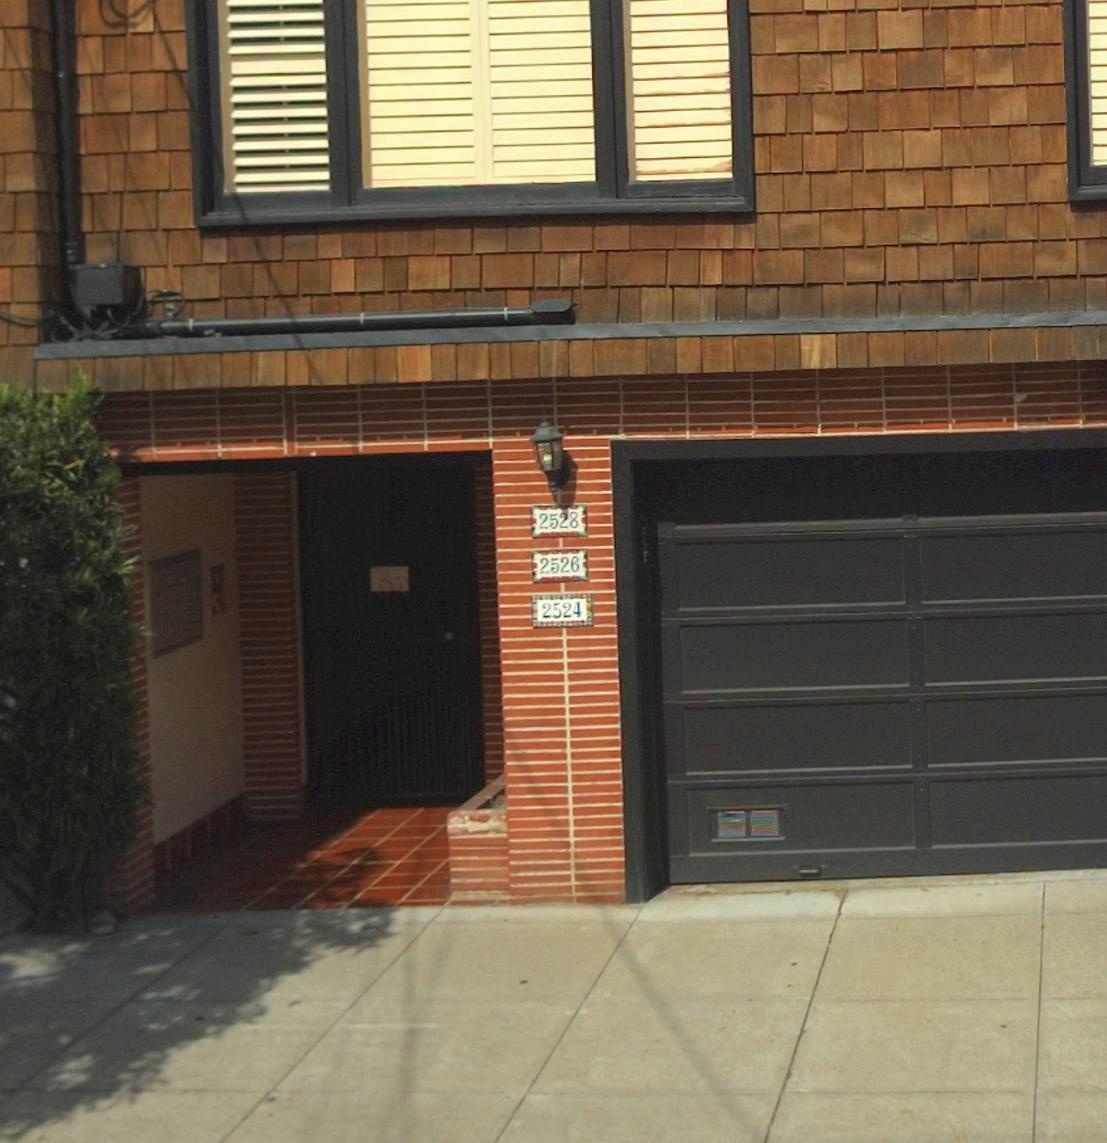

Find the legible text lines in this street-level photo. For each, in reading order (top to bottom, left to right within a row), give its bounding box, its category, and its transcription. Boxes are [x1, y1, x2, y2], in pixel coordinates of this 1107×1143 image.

[537, 510, 580, 531] StreetNumber: 2528
[538, 555, 582, 576] StreetNumber: 2526
[540, 599, 583, 621] StreetNumber: 2524